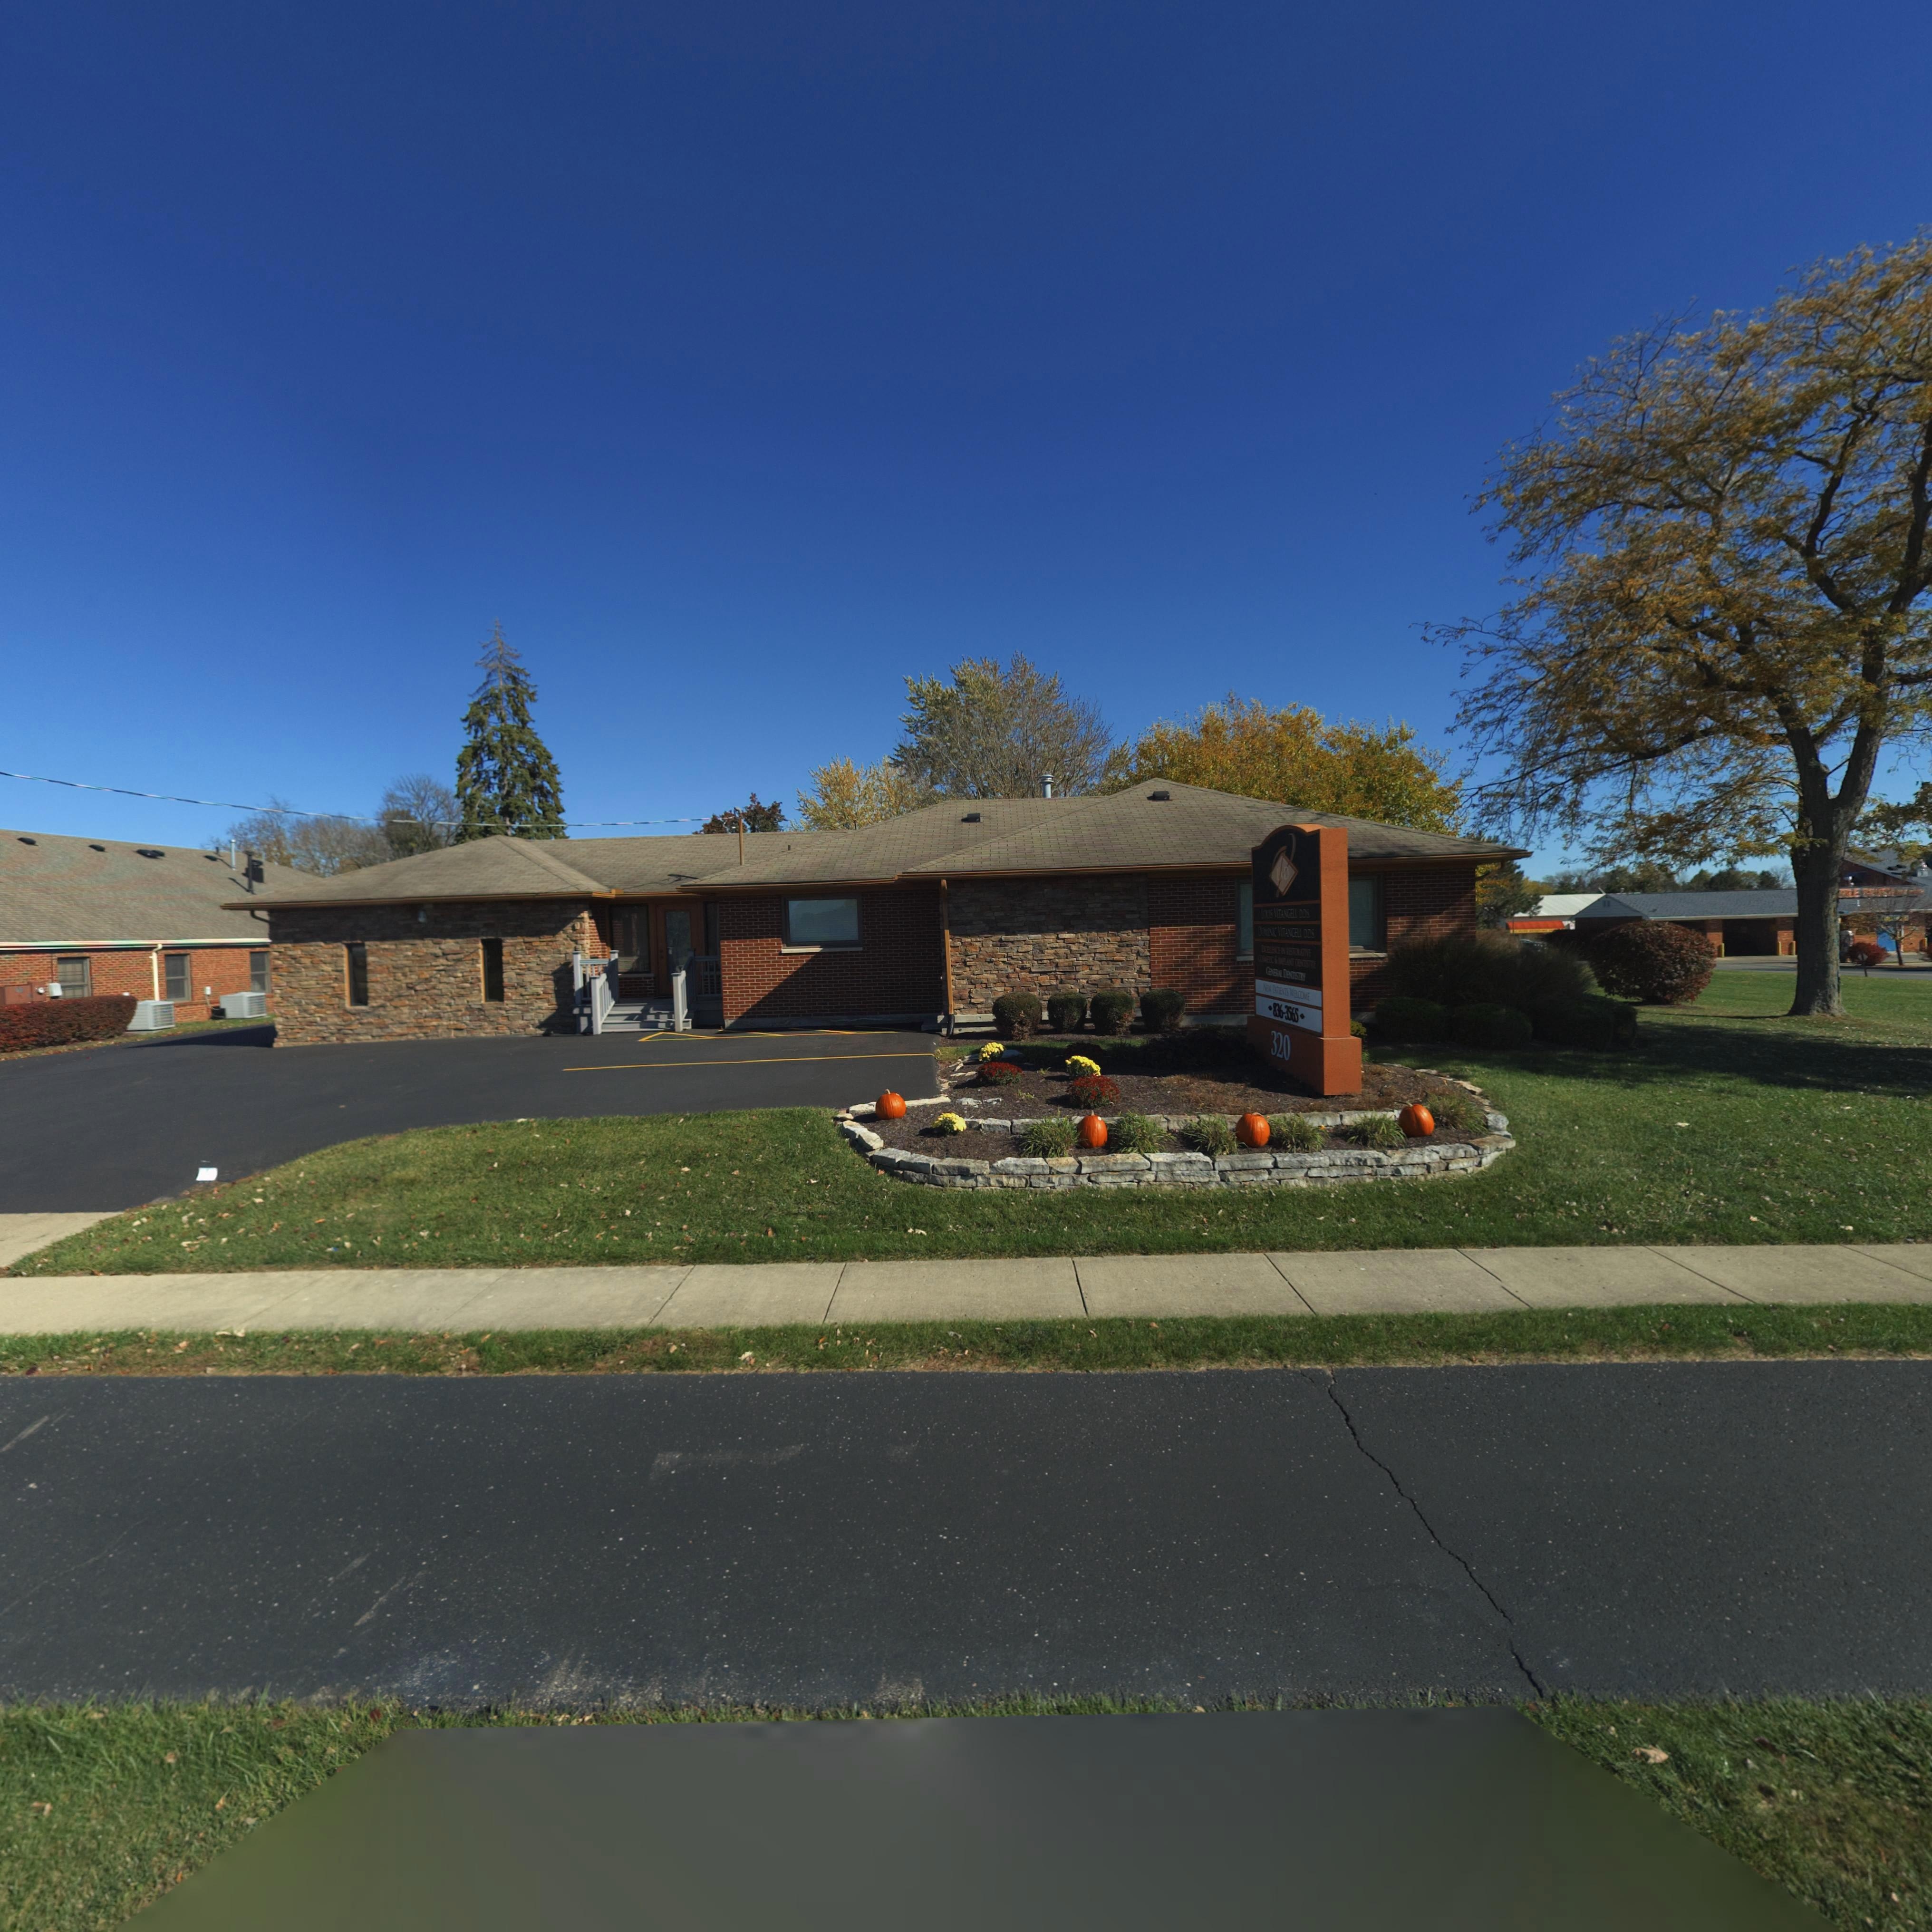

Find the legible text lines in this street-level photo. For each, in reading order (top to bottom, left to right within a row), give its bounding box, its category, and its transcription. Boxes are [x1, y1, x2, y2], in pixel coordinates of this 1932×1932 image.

[1259, 908, 1312, 920] None: LOUIS VITANGELL DDS
[1256, 924, 1316, 940] None: DOMINIC VITANGELL DDS
[1265, 965, 1308, 983] None: GENERAL DENTISTRY
[1261, 982, 1311, 1003] None: NEW PATIENTS WELCOME
[1272, 1001, 1300, 1025] None: 836-3565
[1269, 1029, 1292, 1063] StreetNumber: 320